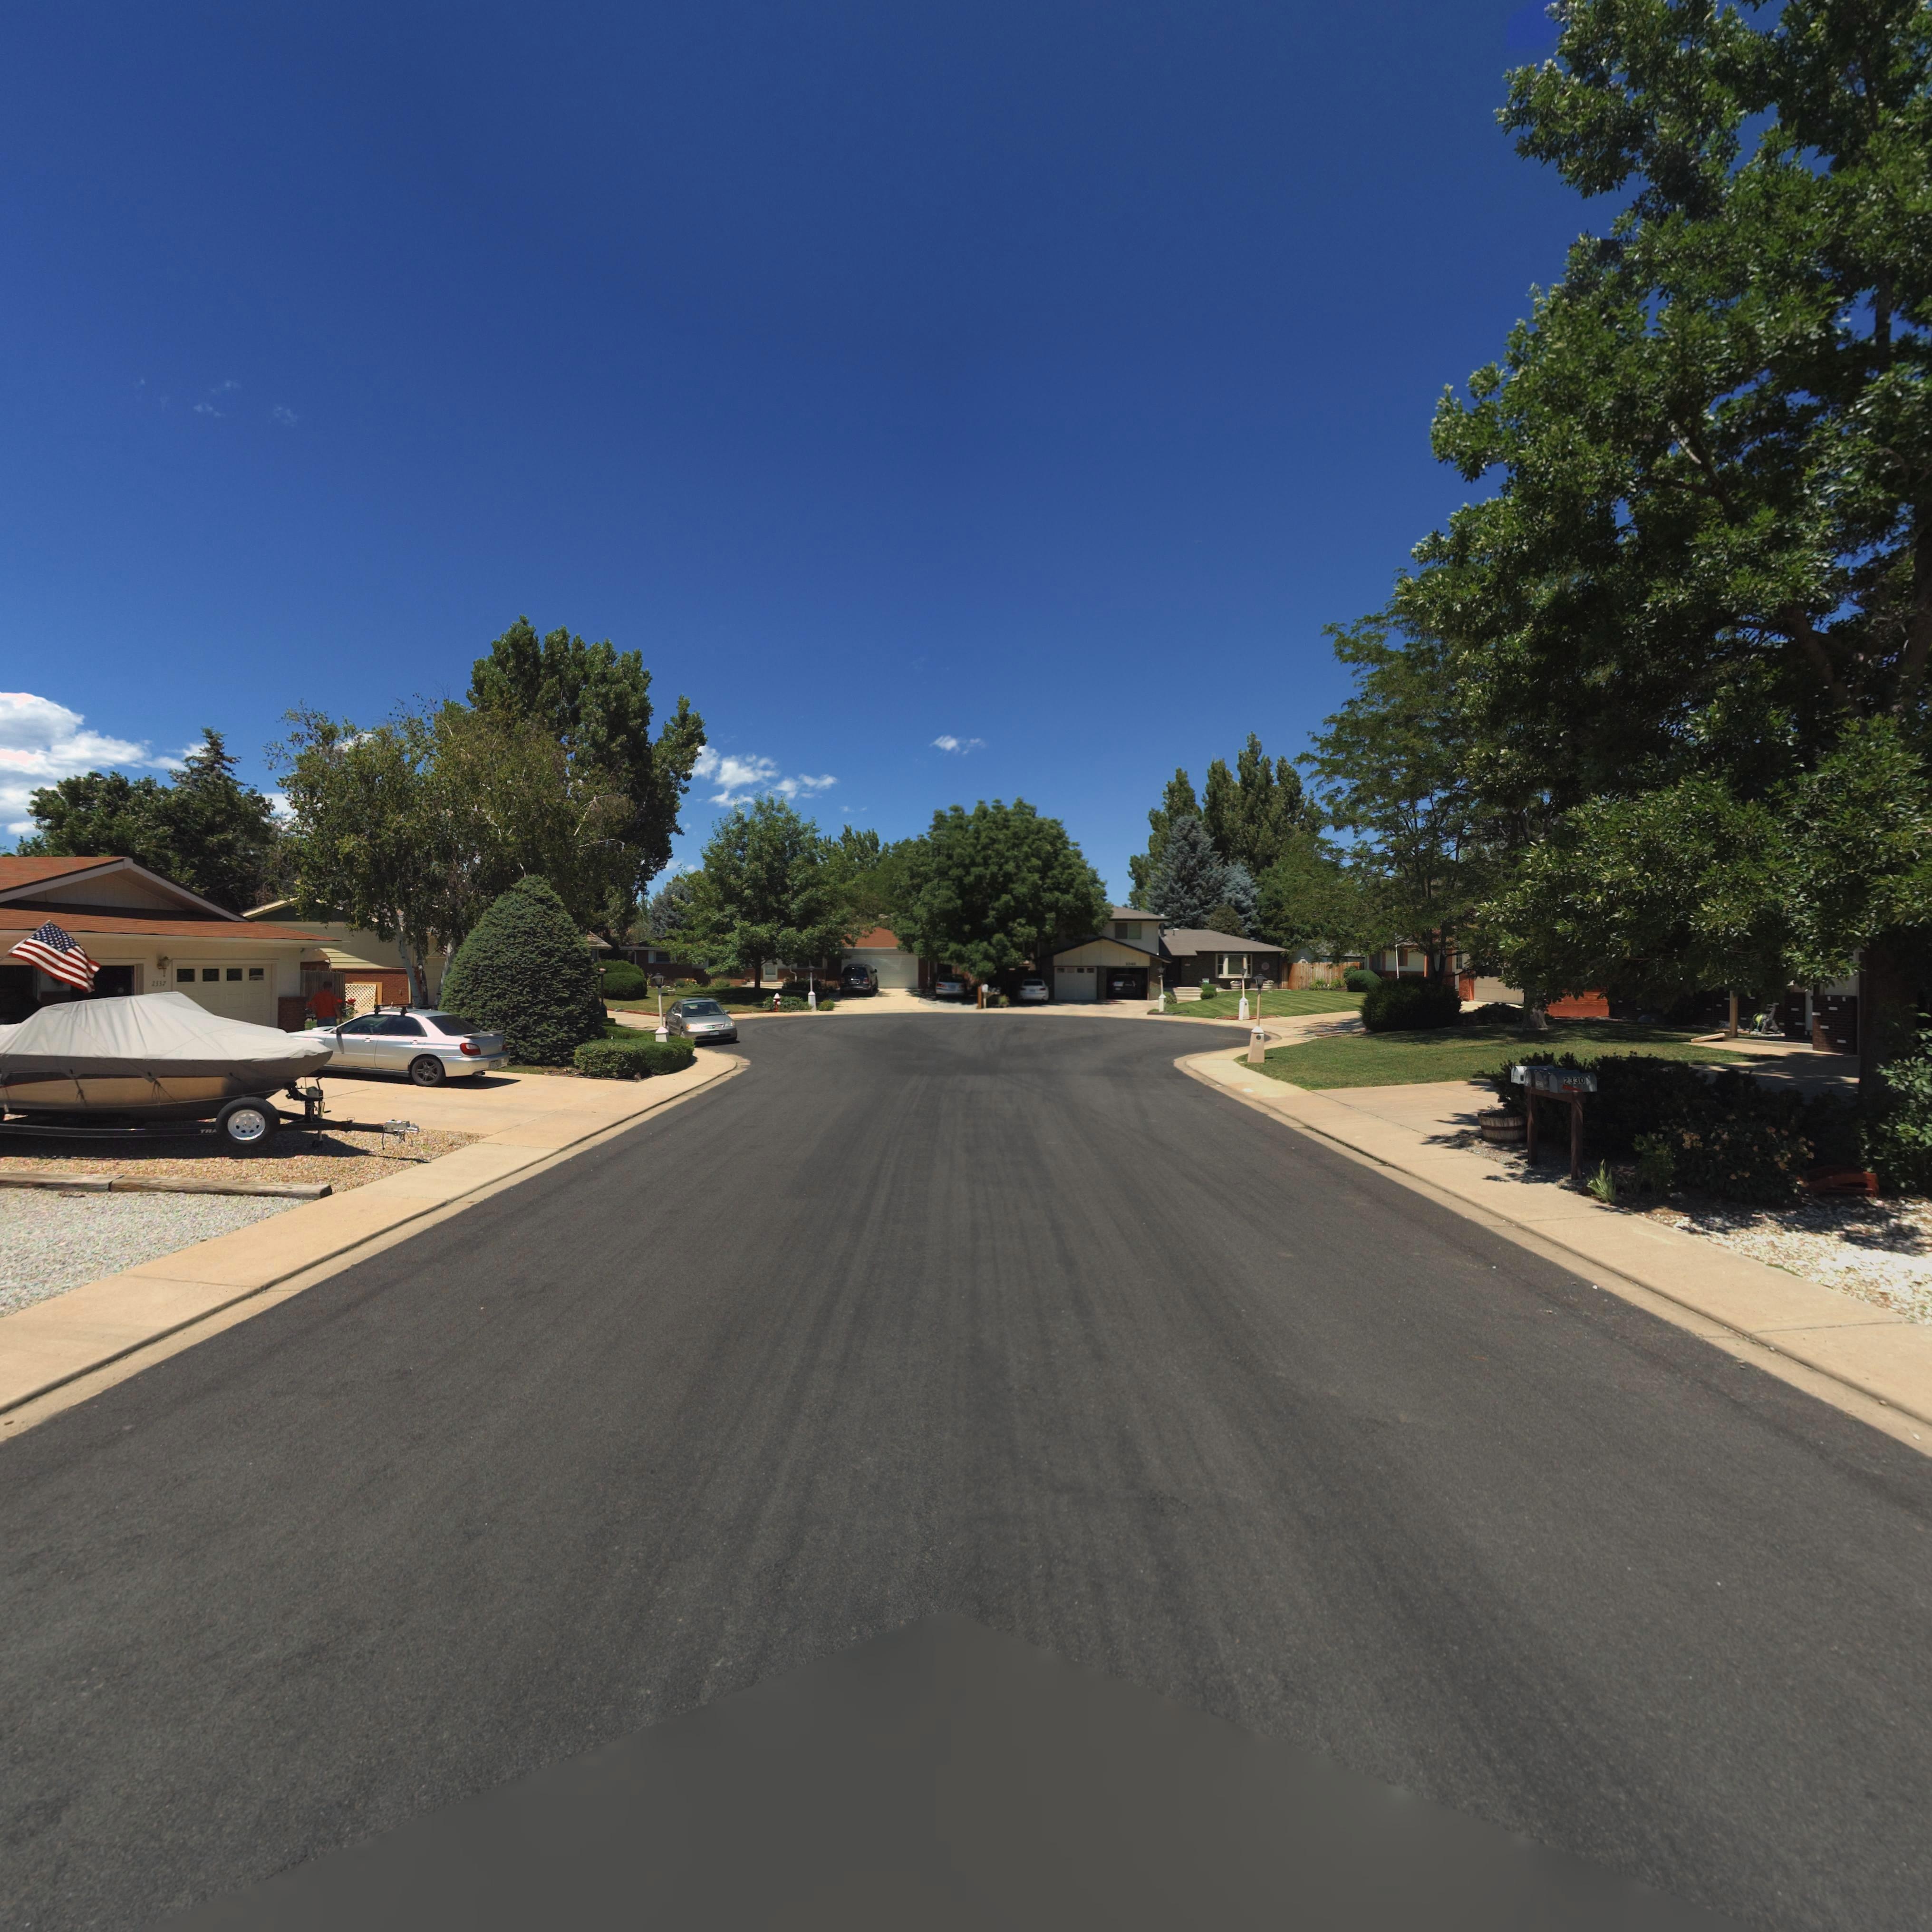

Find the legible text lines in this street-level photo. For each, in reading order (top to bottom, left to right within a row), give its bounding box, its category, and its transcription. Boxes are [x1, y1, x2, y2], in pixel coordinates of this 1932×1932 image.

[1125, 962, 1136, 966] StreetNumber: 2348
[151, 980, 166, 986] StreetNumber: 2337
[1564, 1076, 1584, 1084] StreetNumber: 2330
[1536, 1081, 1543, 1087] StreetNumber: 2***